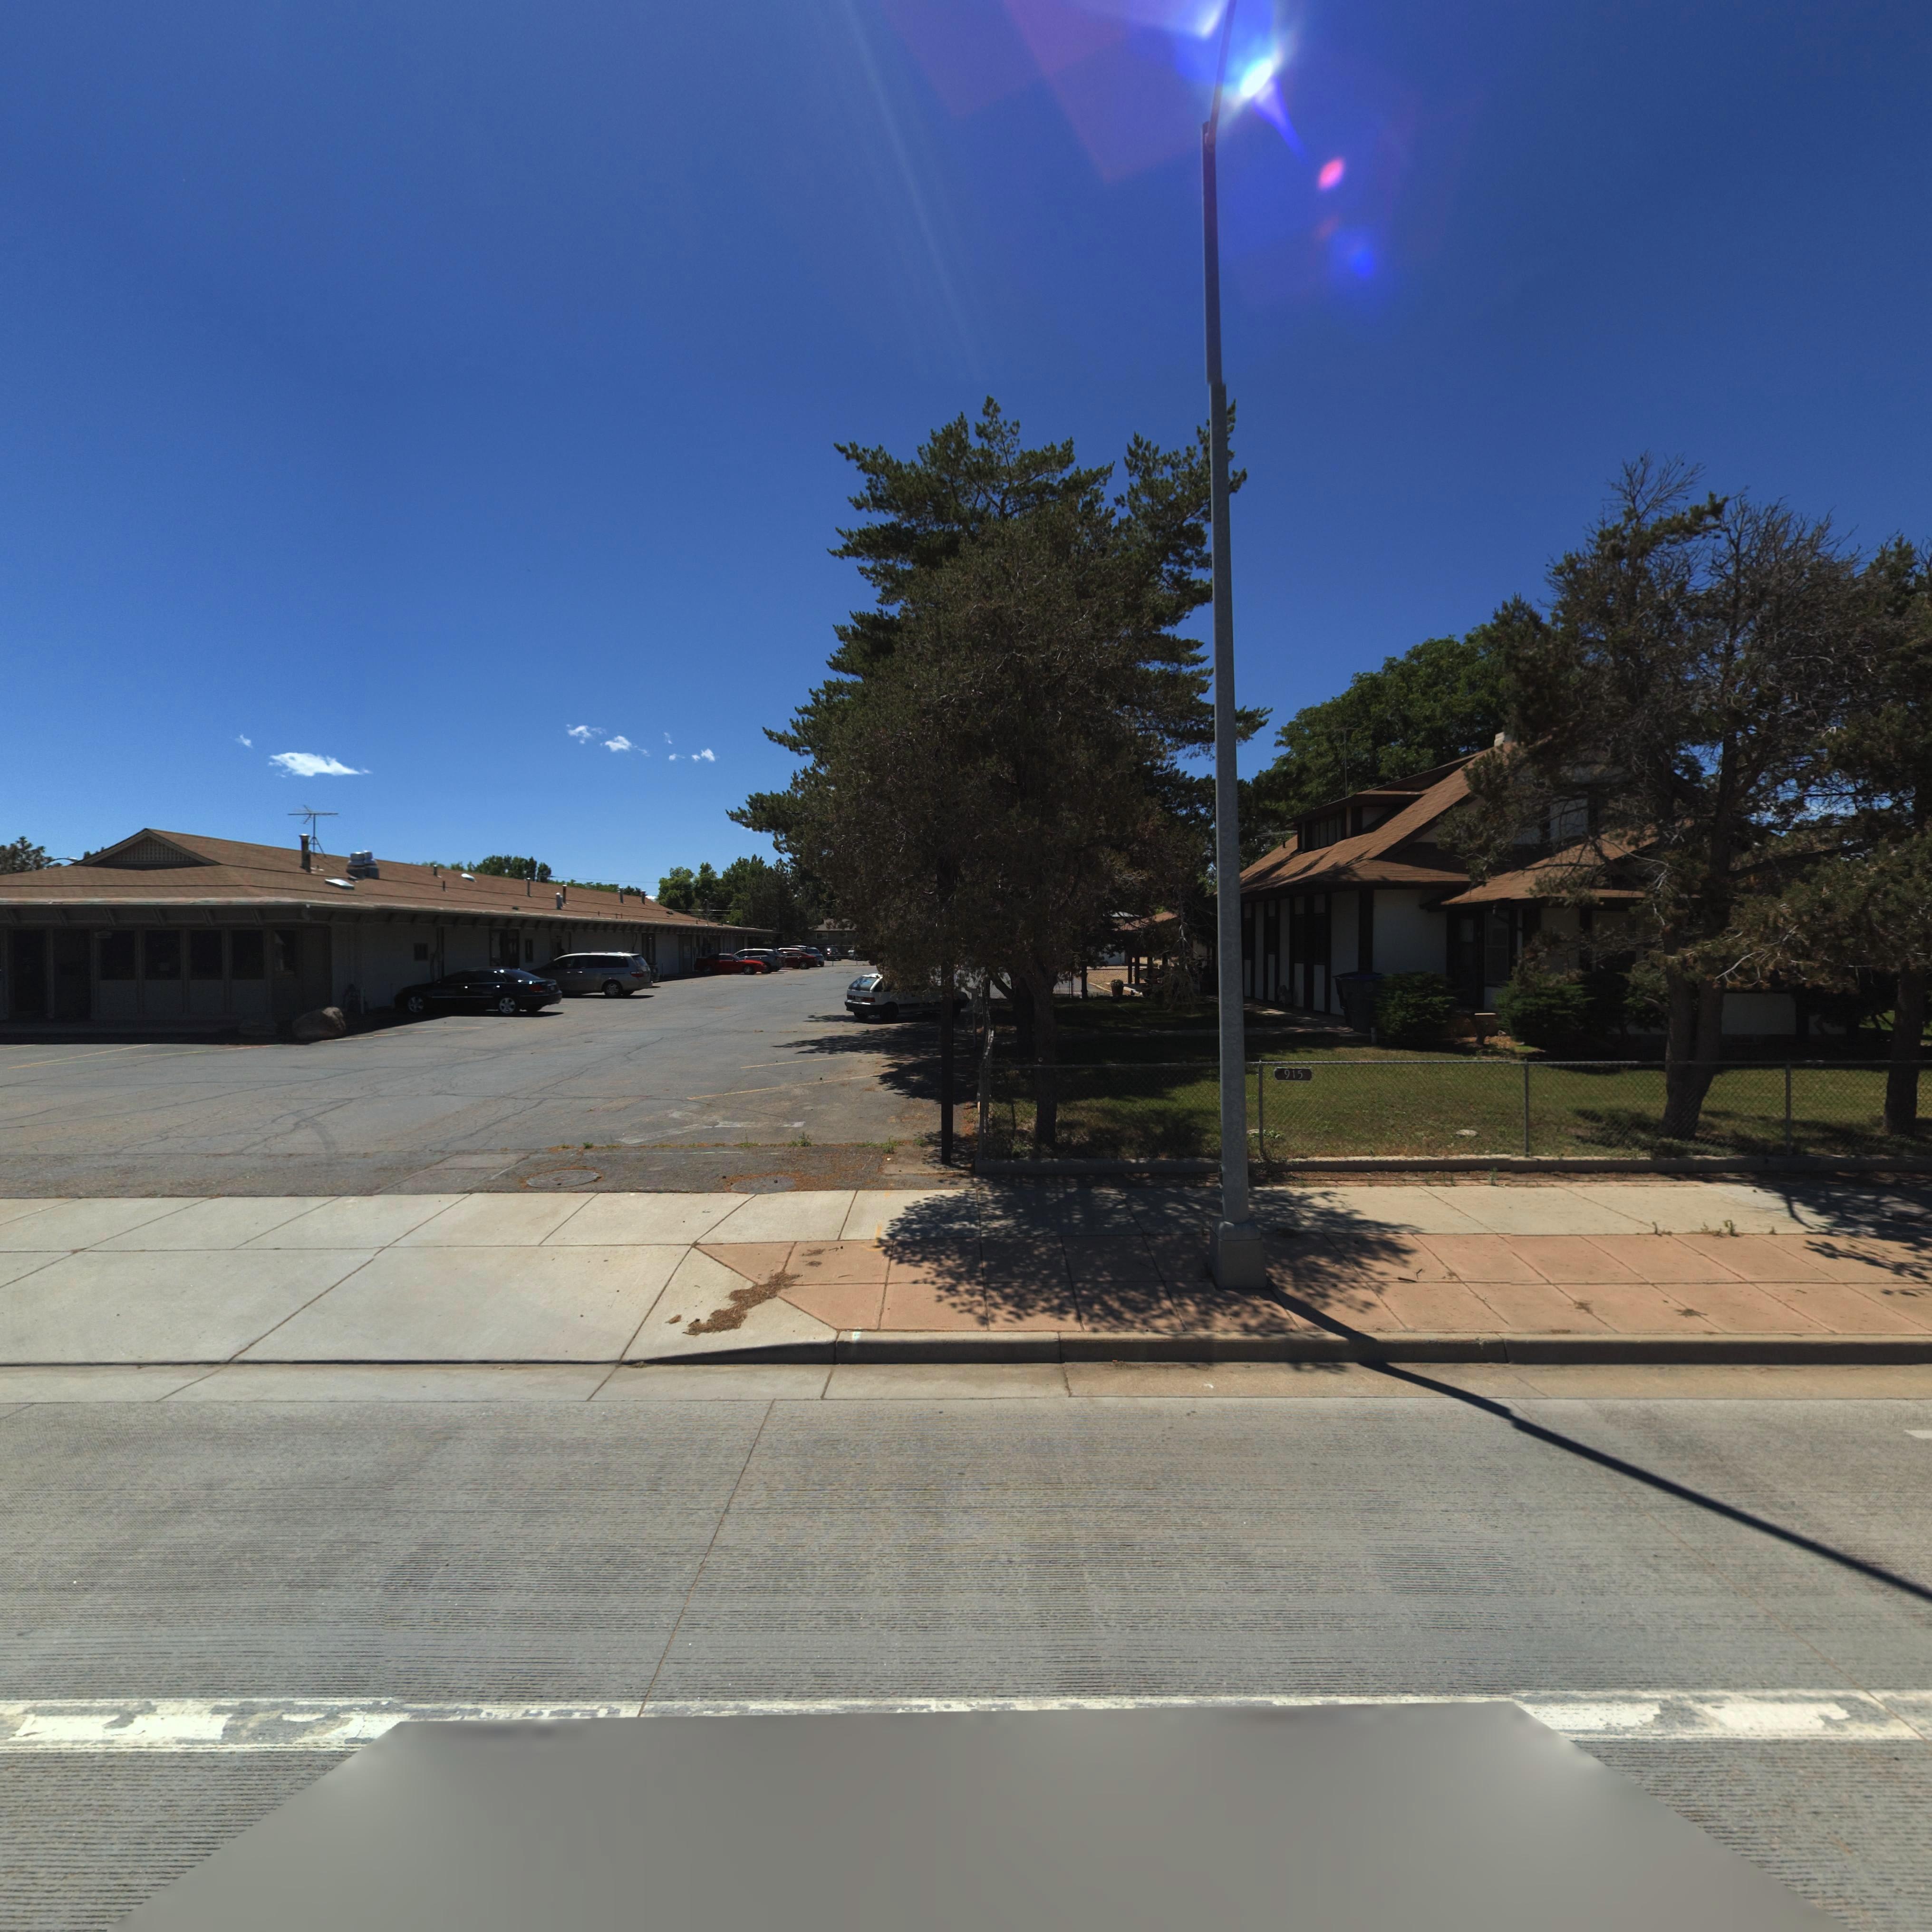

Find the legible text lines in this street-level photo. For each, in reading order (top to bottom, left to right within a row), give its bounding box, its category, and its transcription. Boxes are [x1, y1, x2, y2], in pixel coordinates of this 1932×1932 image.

[1284, 1069, 1303, 1080] StreetNumber: 915